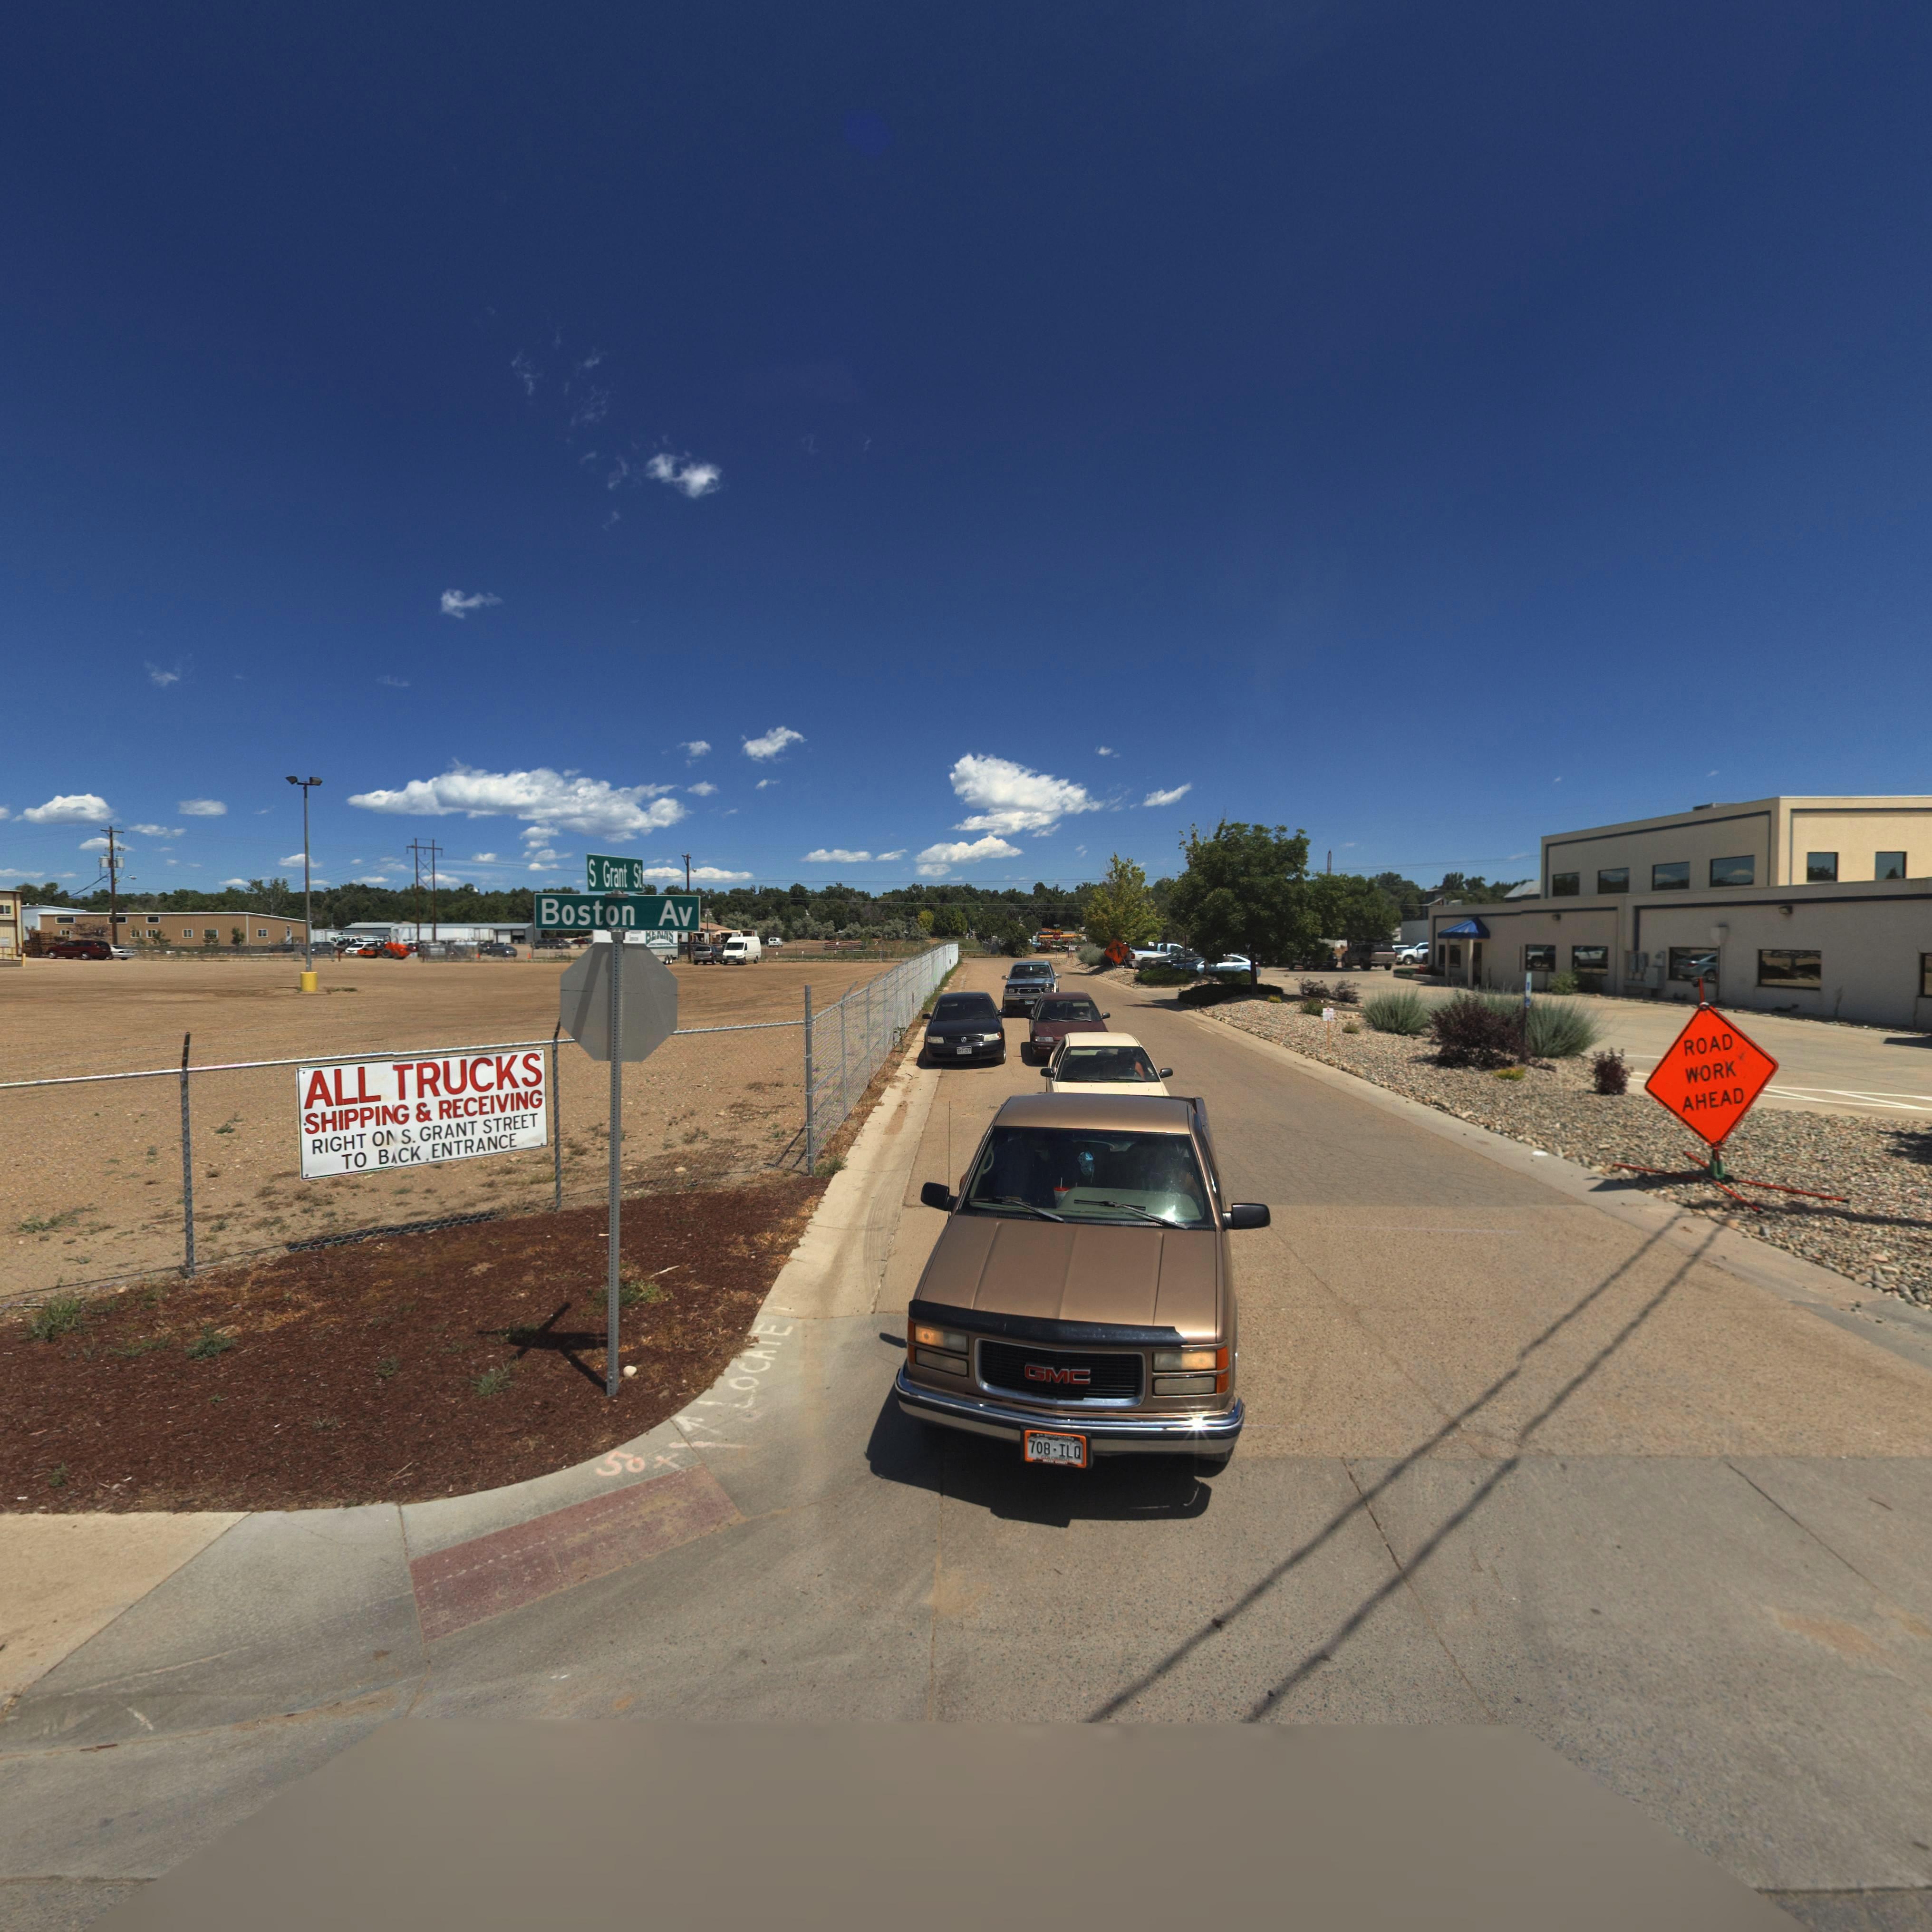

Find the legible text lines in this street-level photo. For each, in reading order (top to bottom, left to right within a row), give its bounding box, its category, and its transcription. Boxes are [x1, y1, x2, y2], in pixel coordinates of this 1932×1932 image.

[587, 858, 642, 889] StreetName: S Grant St
[540, 897, 694, 927] StreetName: Boston Av